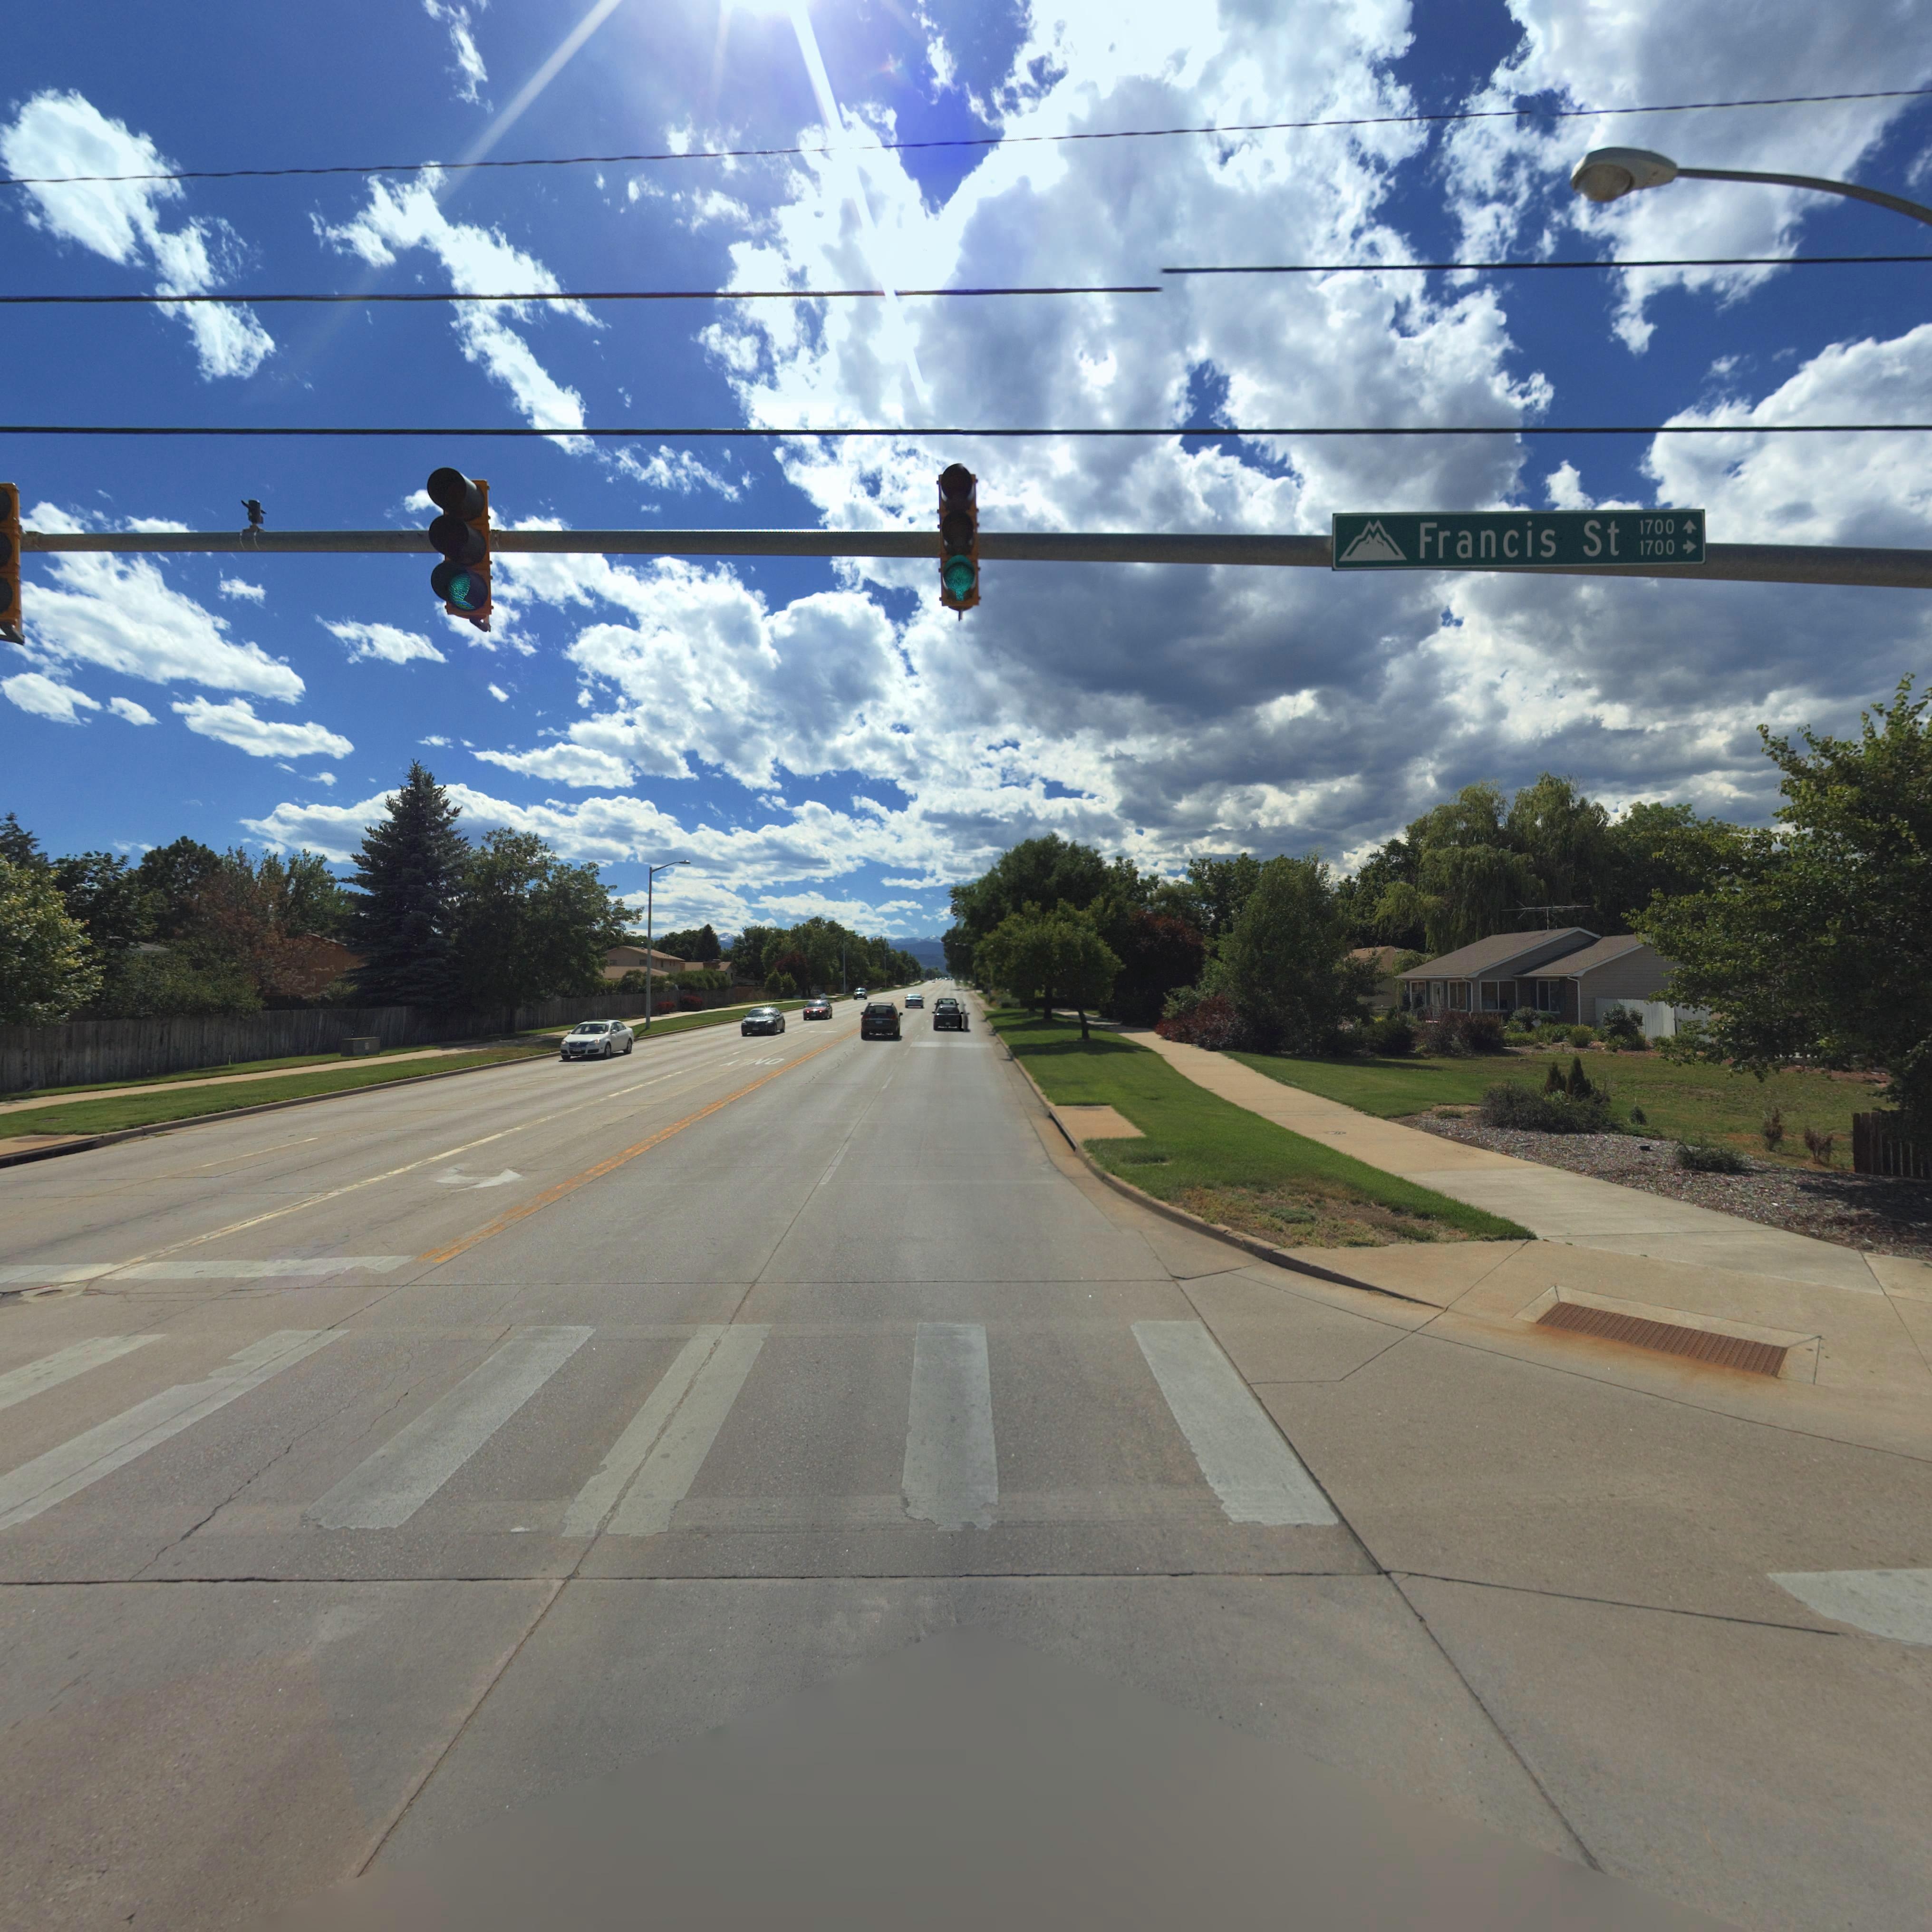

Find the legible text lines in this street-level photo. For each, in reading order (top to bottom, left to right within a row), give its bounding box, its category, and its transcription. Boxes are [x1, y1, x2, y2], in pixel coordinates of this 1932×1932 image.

[1639, 518, 1675, 535] StreetNumberRange: 1700
[1419, 519, 1621, 559] StreetName: Franics St
[1639, 539, 1699, 556] StreetNumberRange: 1700->